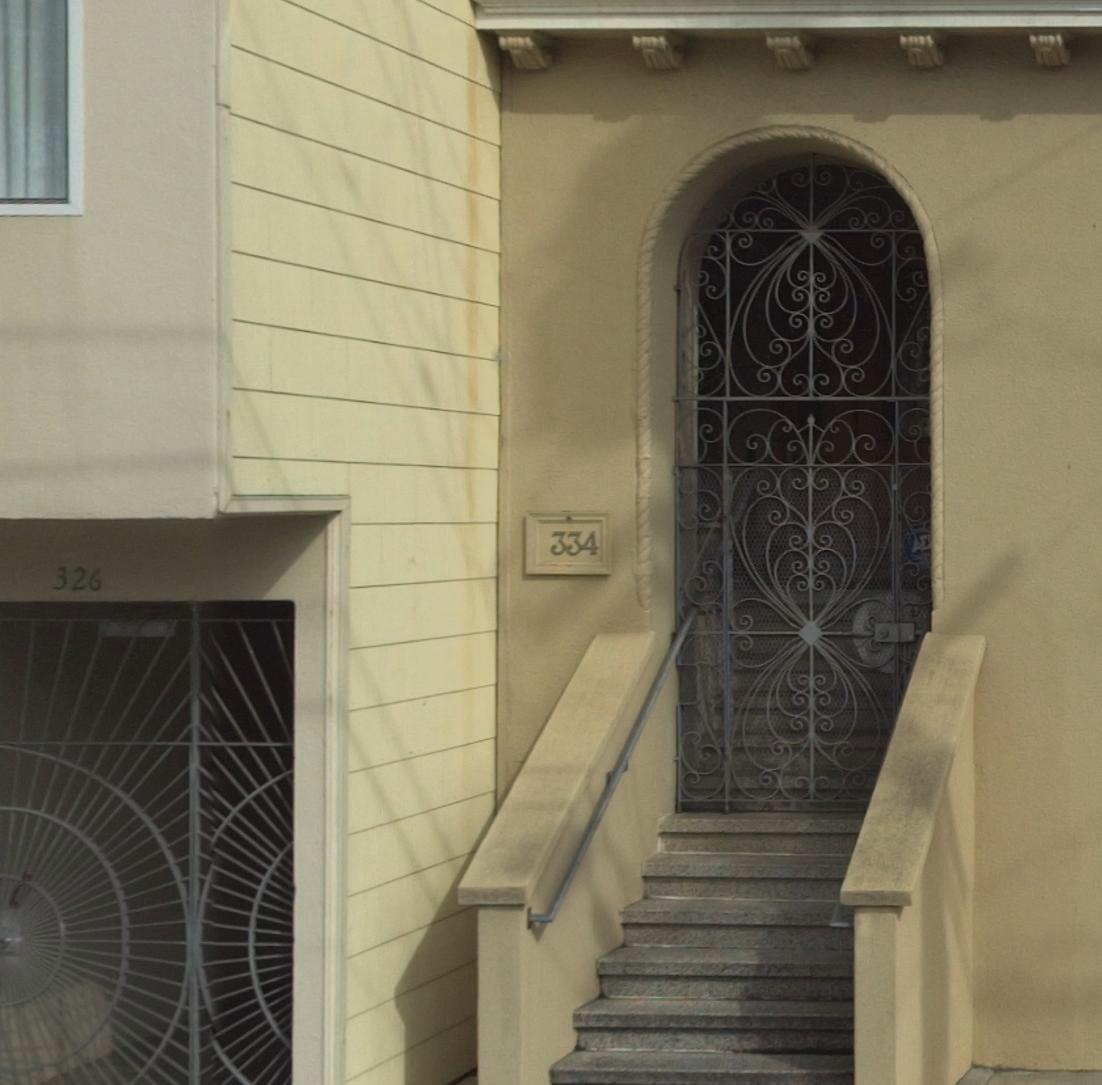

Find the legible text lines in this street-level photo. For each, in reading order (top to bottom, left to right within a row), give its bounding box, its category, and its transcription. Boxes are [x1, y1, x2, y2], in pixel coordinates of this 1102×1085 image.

[548, 529, 600, 557] StreetNumber: 334
[52, 565, 103, 592] StreetNumber: 326